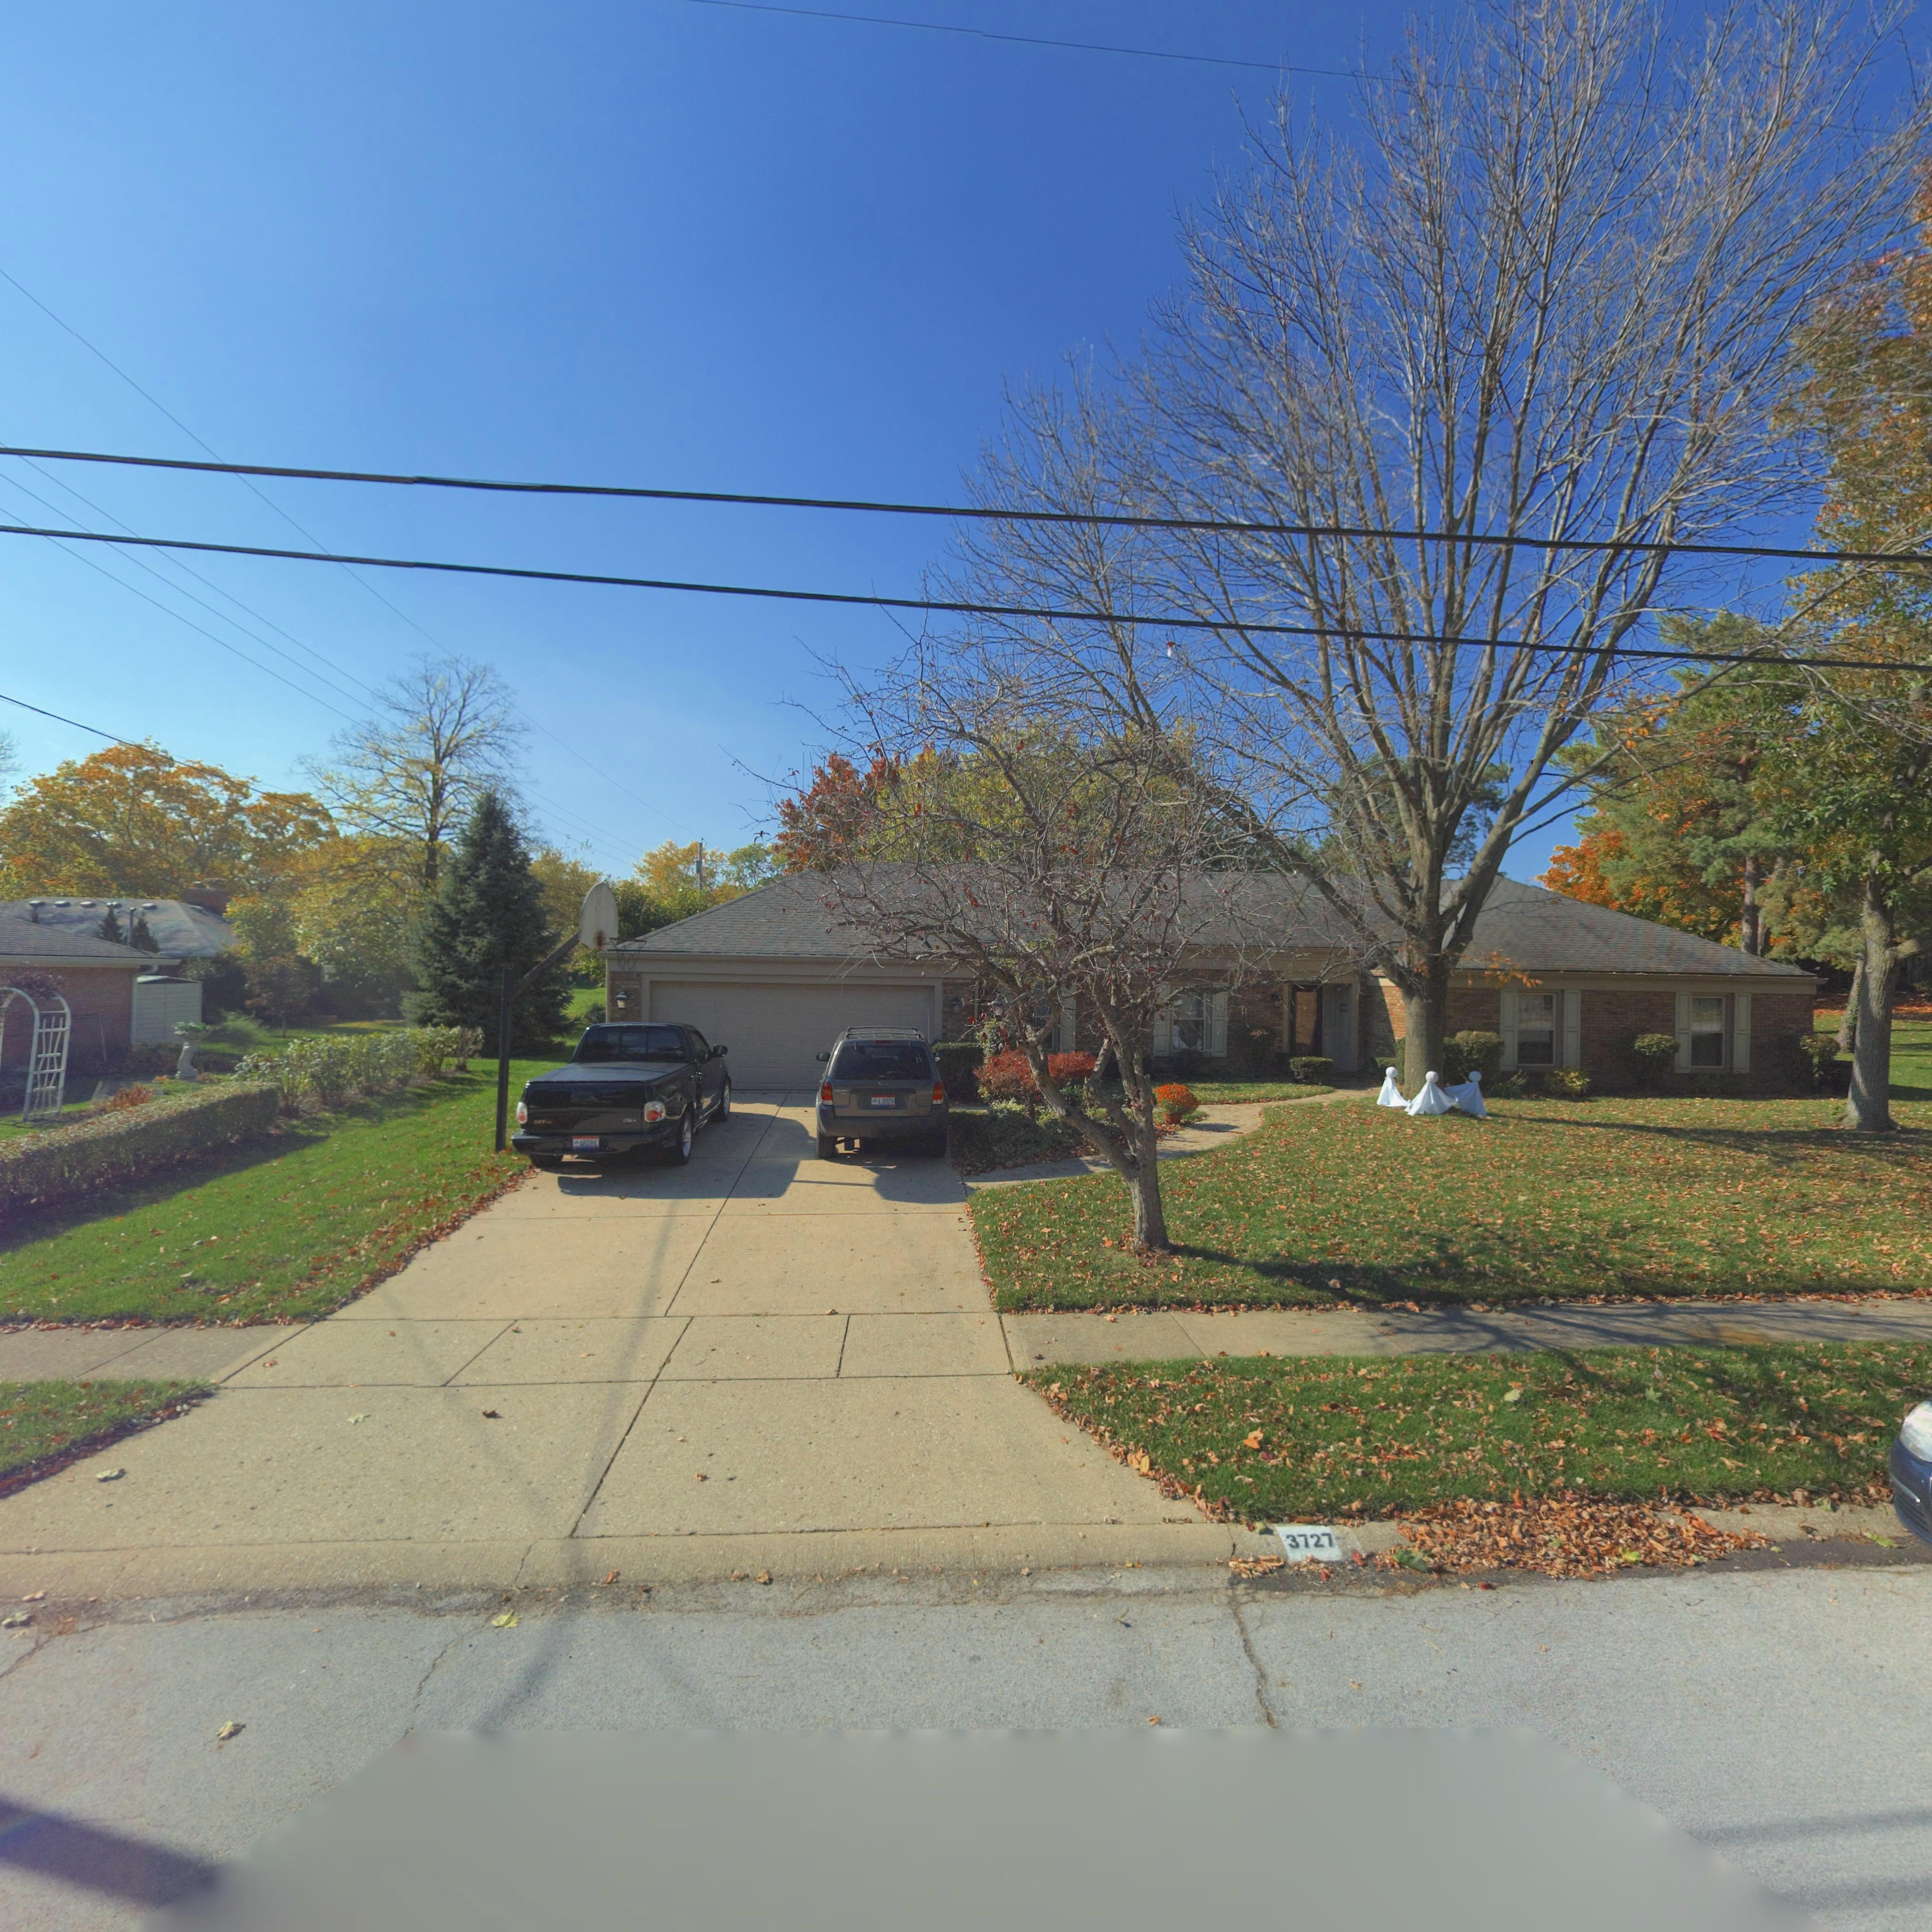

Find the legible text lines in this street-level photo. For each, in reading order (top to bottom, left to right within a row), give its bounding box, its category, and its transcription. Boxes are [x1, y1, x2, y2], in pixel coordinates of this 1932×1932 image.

[877, 1097, 894, 1104] None: AJ8020
[533, 1119, 546, 1124] None: SVT
[580, 1139, 598, 1147] None: AP79HC
[1284, 1532, 1335, 1549] None: 3727